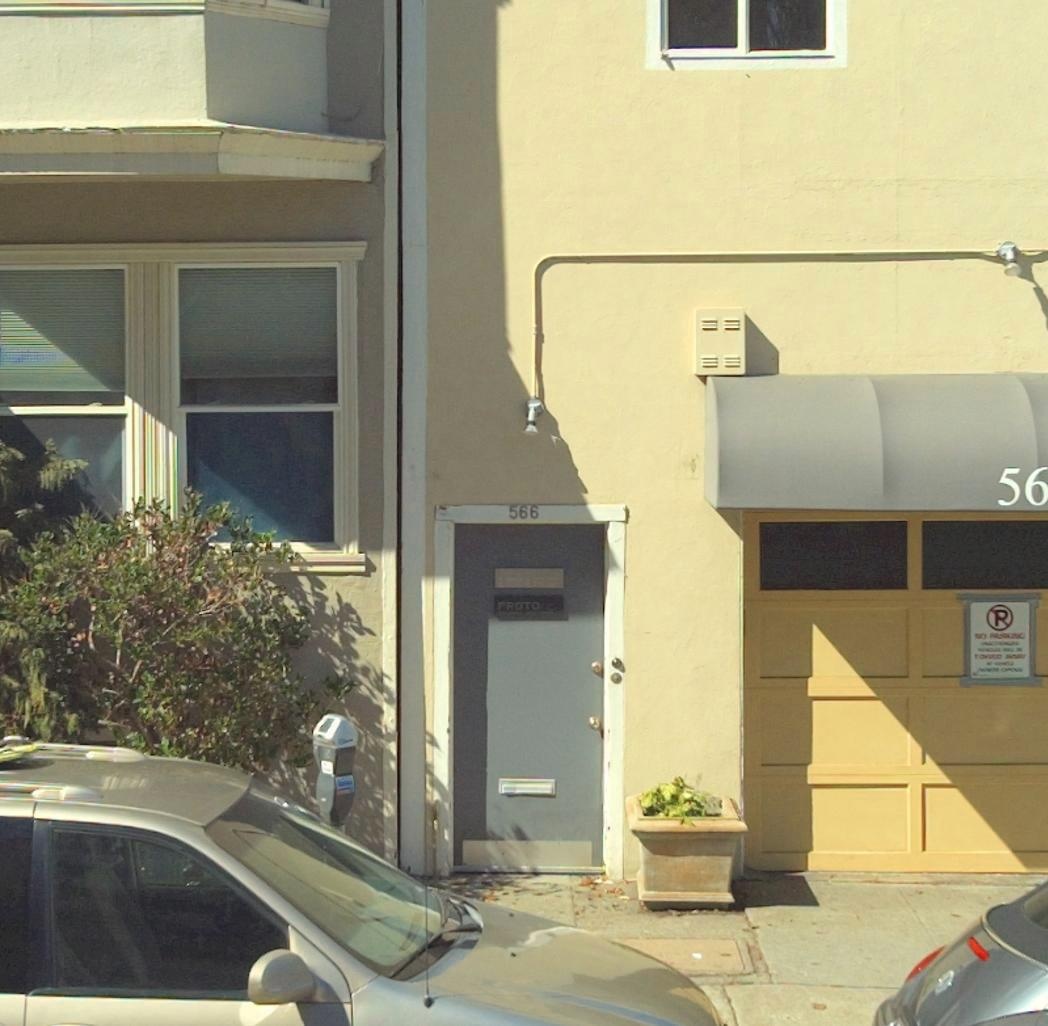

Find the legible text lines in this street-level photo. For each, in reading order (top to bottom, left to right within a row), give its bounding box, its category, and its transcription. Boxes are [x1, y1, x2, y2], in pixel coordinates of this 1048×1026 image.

[993, 463, 1048, 509] StreetNumber: 56
[507, 502, 542, 522] StreetNumber: 566
[492, 597, 543, 614] None: PROTO
[977, 630, 989, 643] None: O